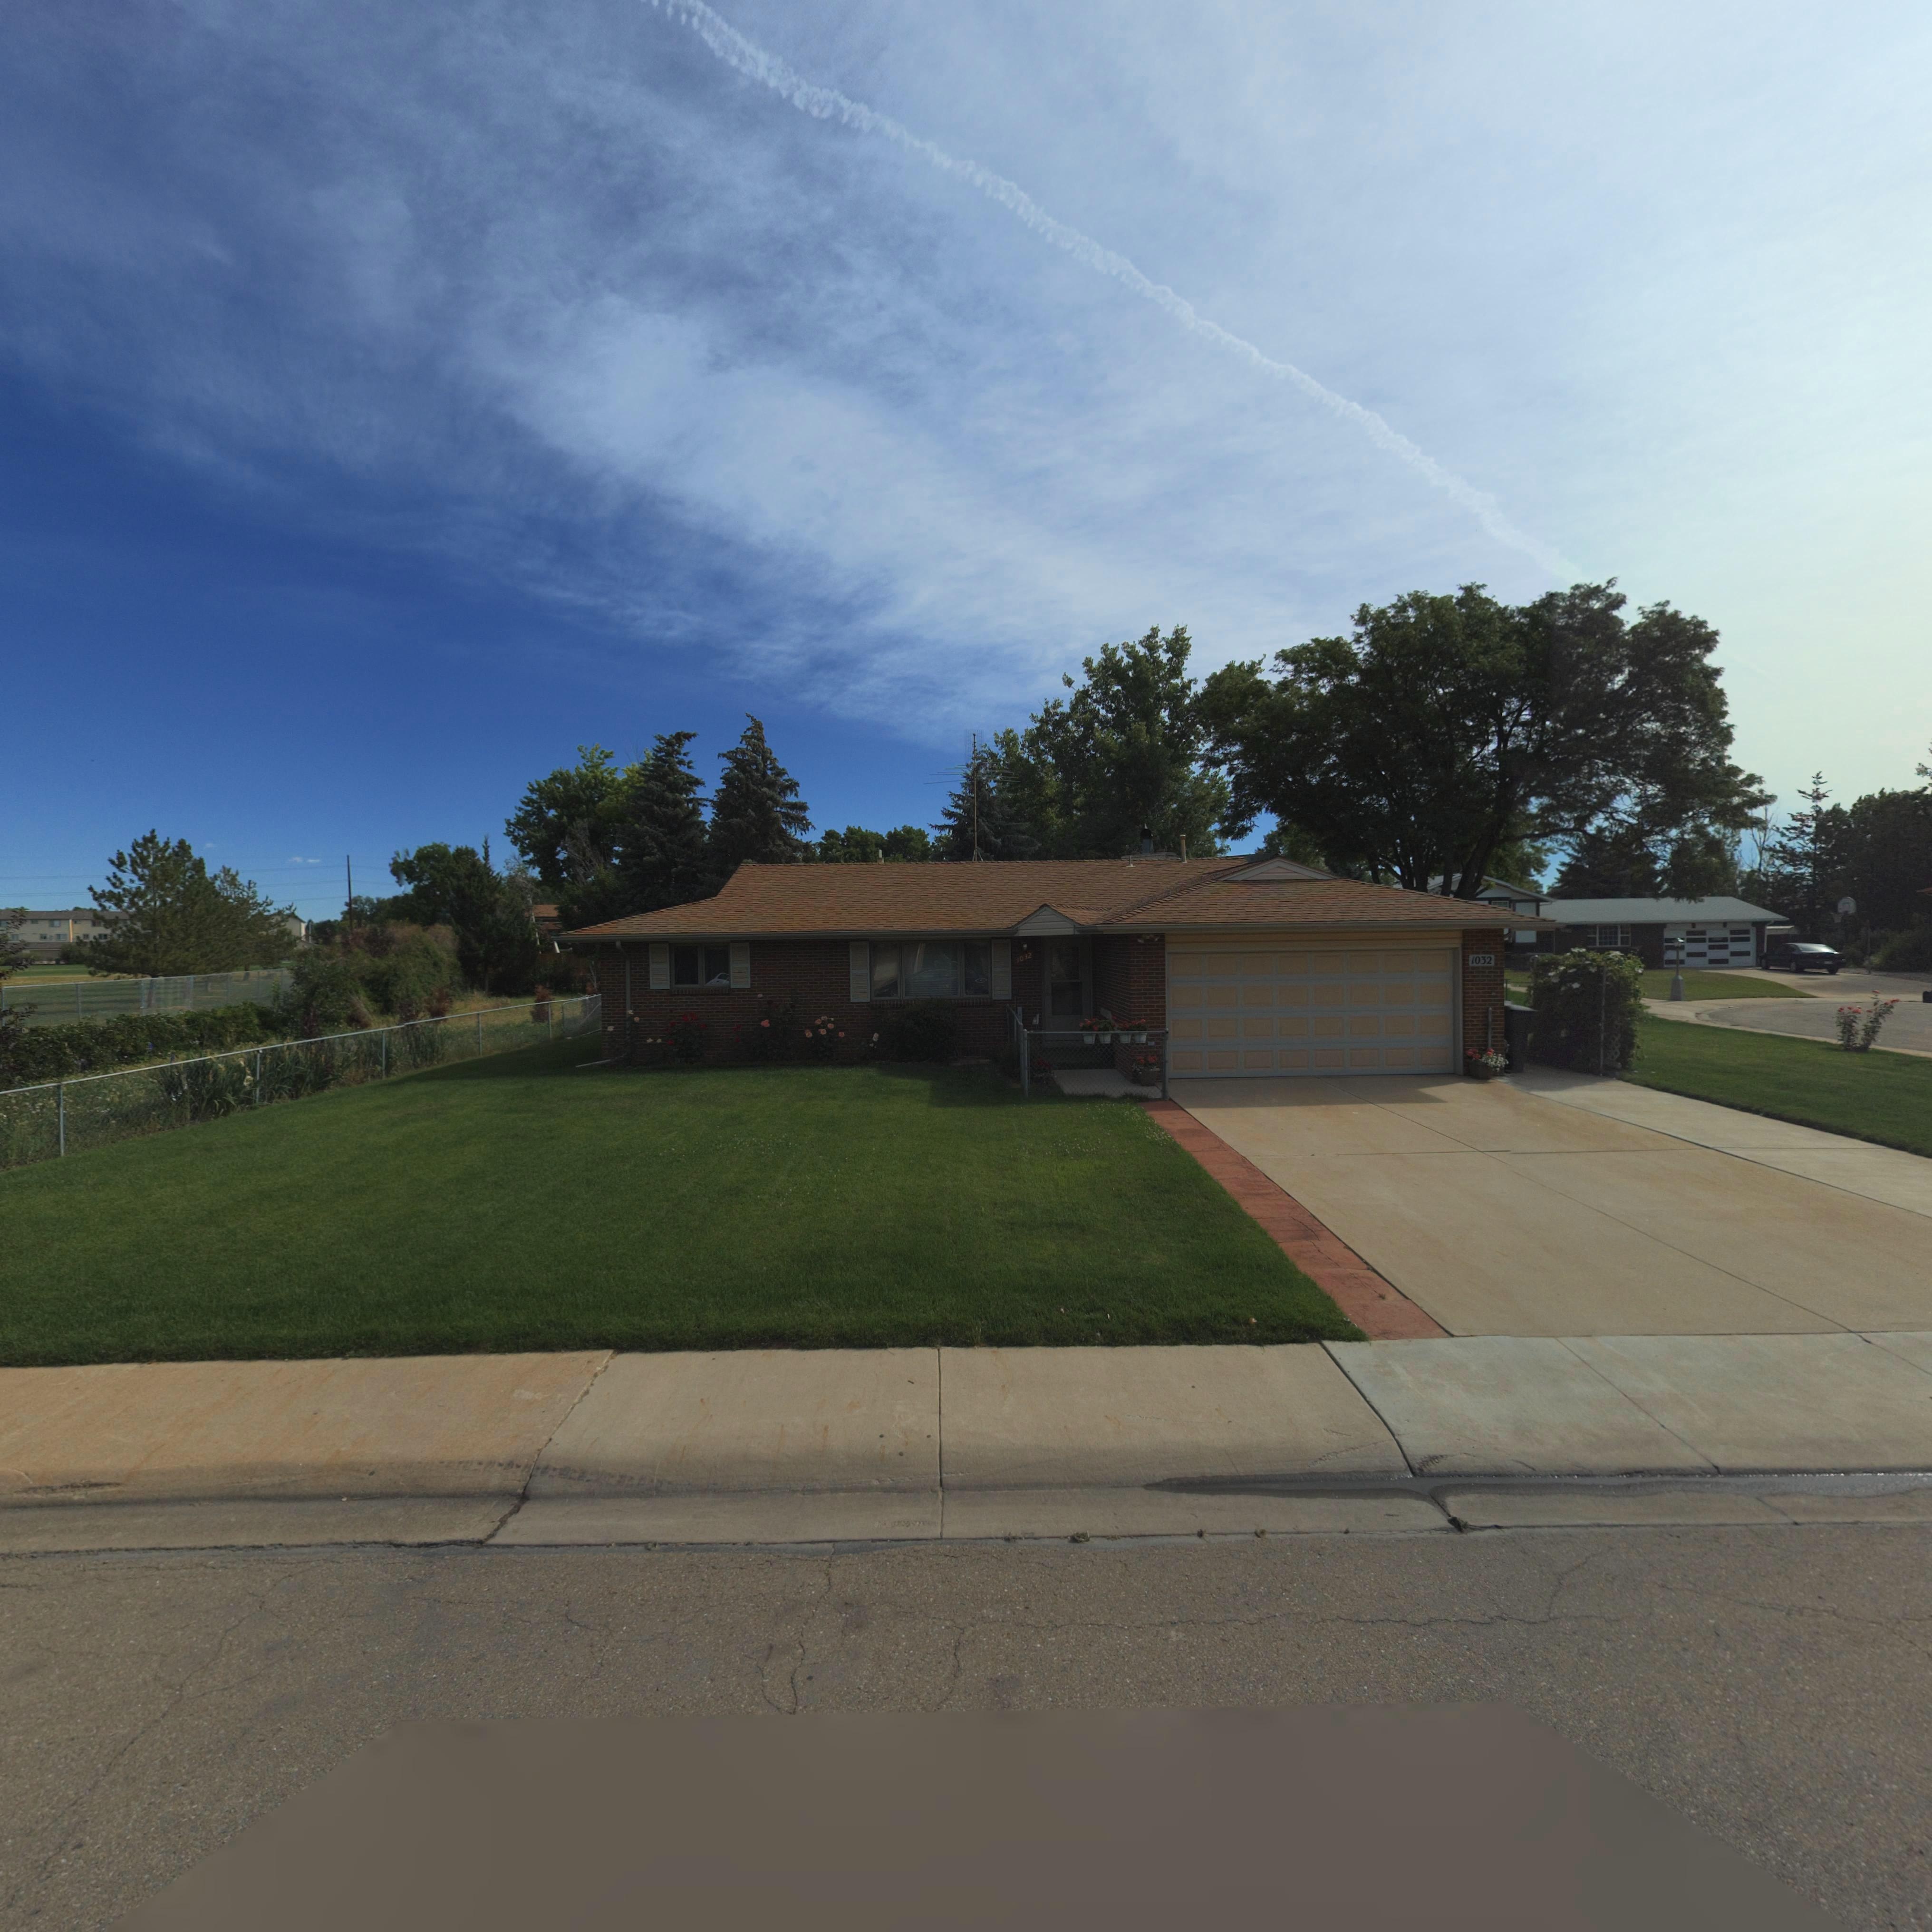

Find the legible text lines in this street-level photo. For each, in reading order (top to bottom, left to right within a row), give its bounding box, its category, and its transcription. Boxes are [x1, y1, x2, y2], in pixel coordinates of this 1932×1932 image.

[1016, 952, 1032, 963] StreetNumber: 1032
[1470, 955, 1493, 965] StreetNumber: 1032